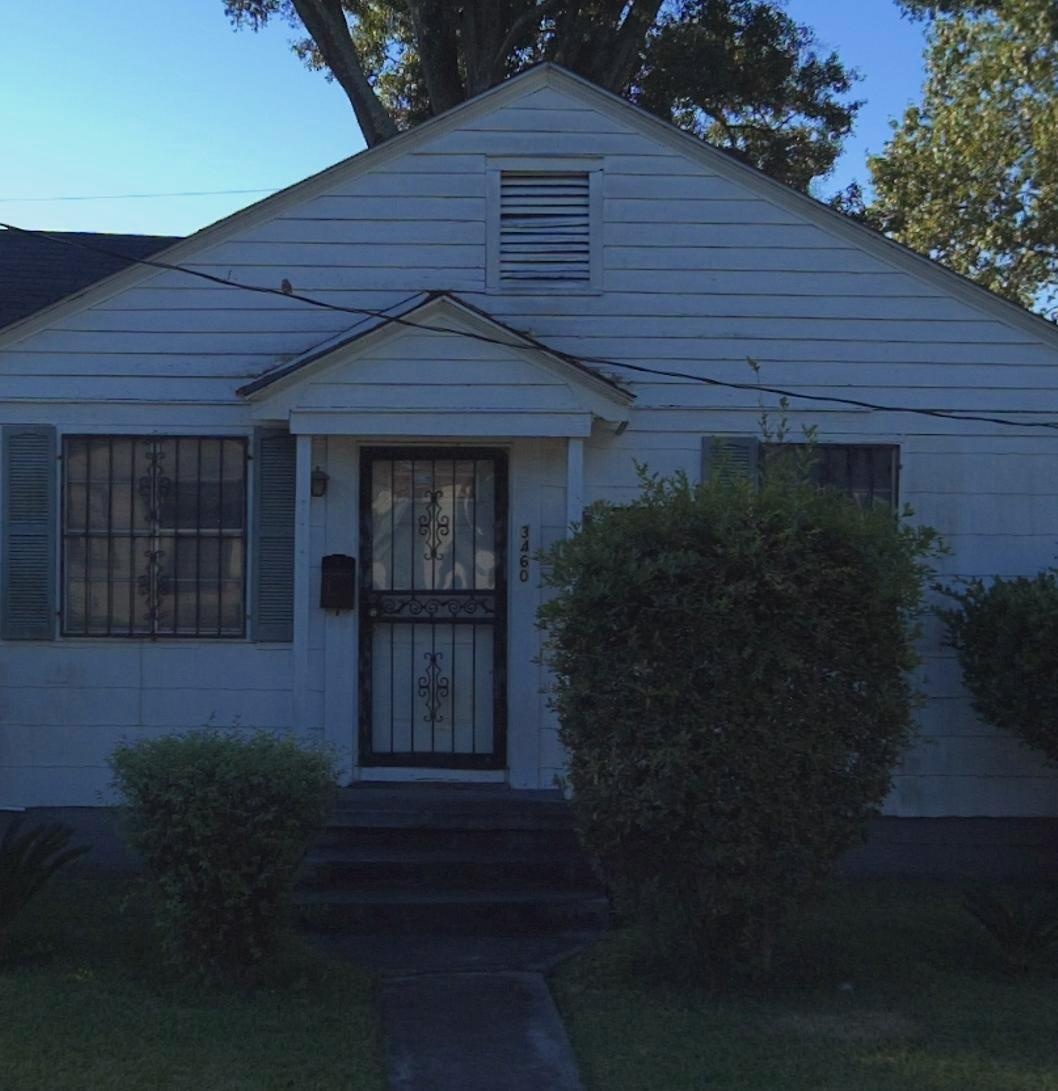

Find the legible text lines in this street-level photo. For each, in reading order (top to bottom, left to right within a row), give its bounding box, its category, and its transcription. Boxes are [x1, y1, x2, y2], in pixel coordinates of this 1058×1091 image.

[518, 524, 530, 583] StreetNumber: 3460